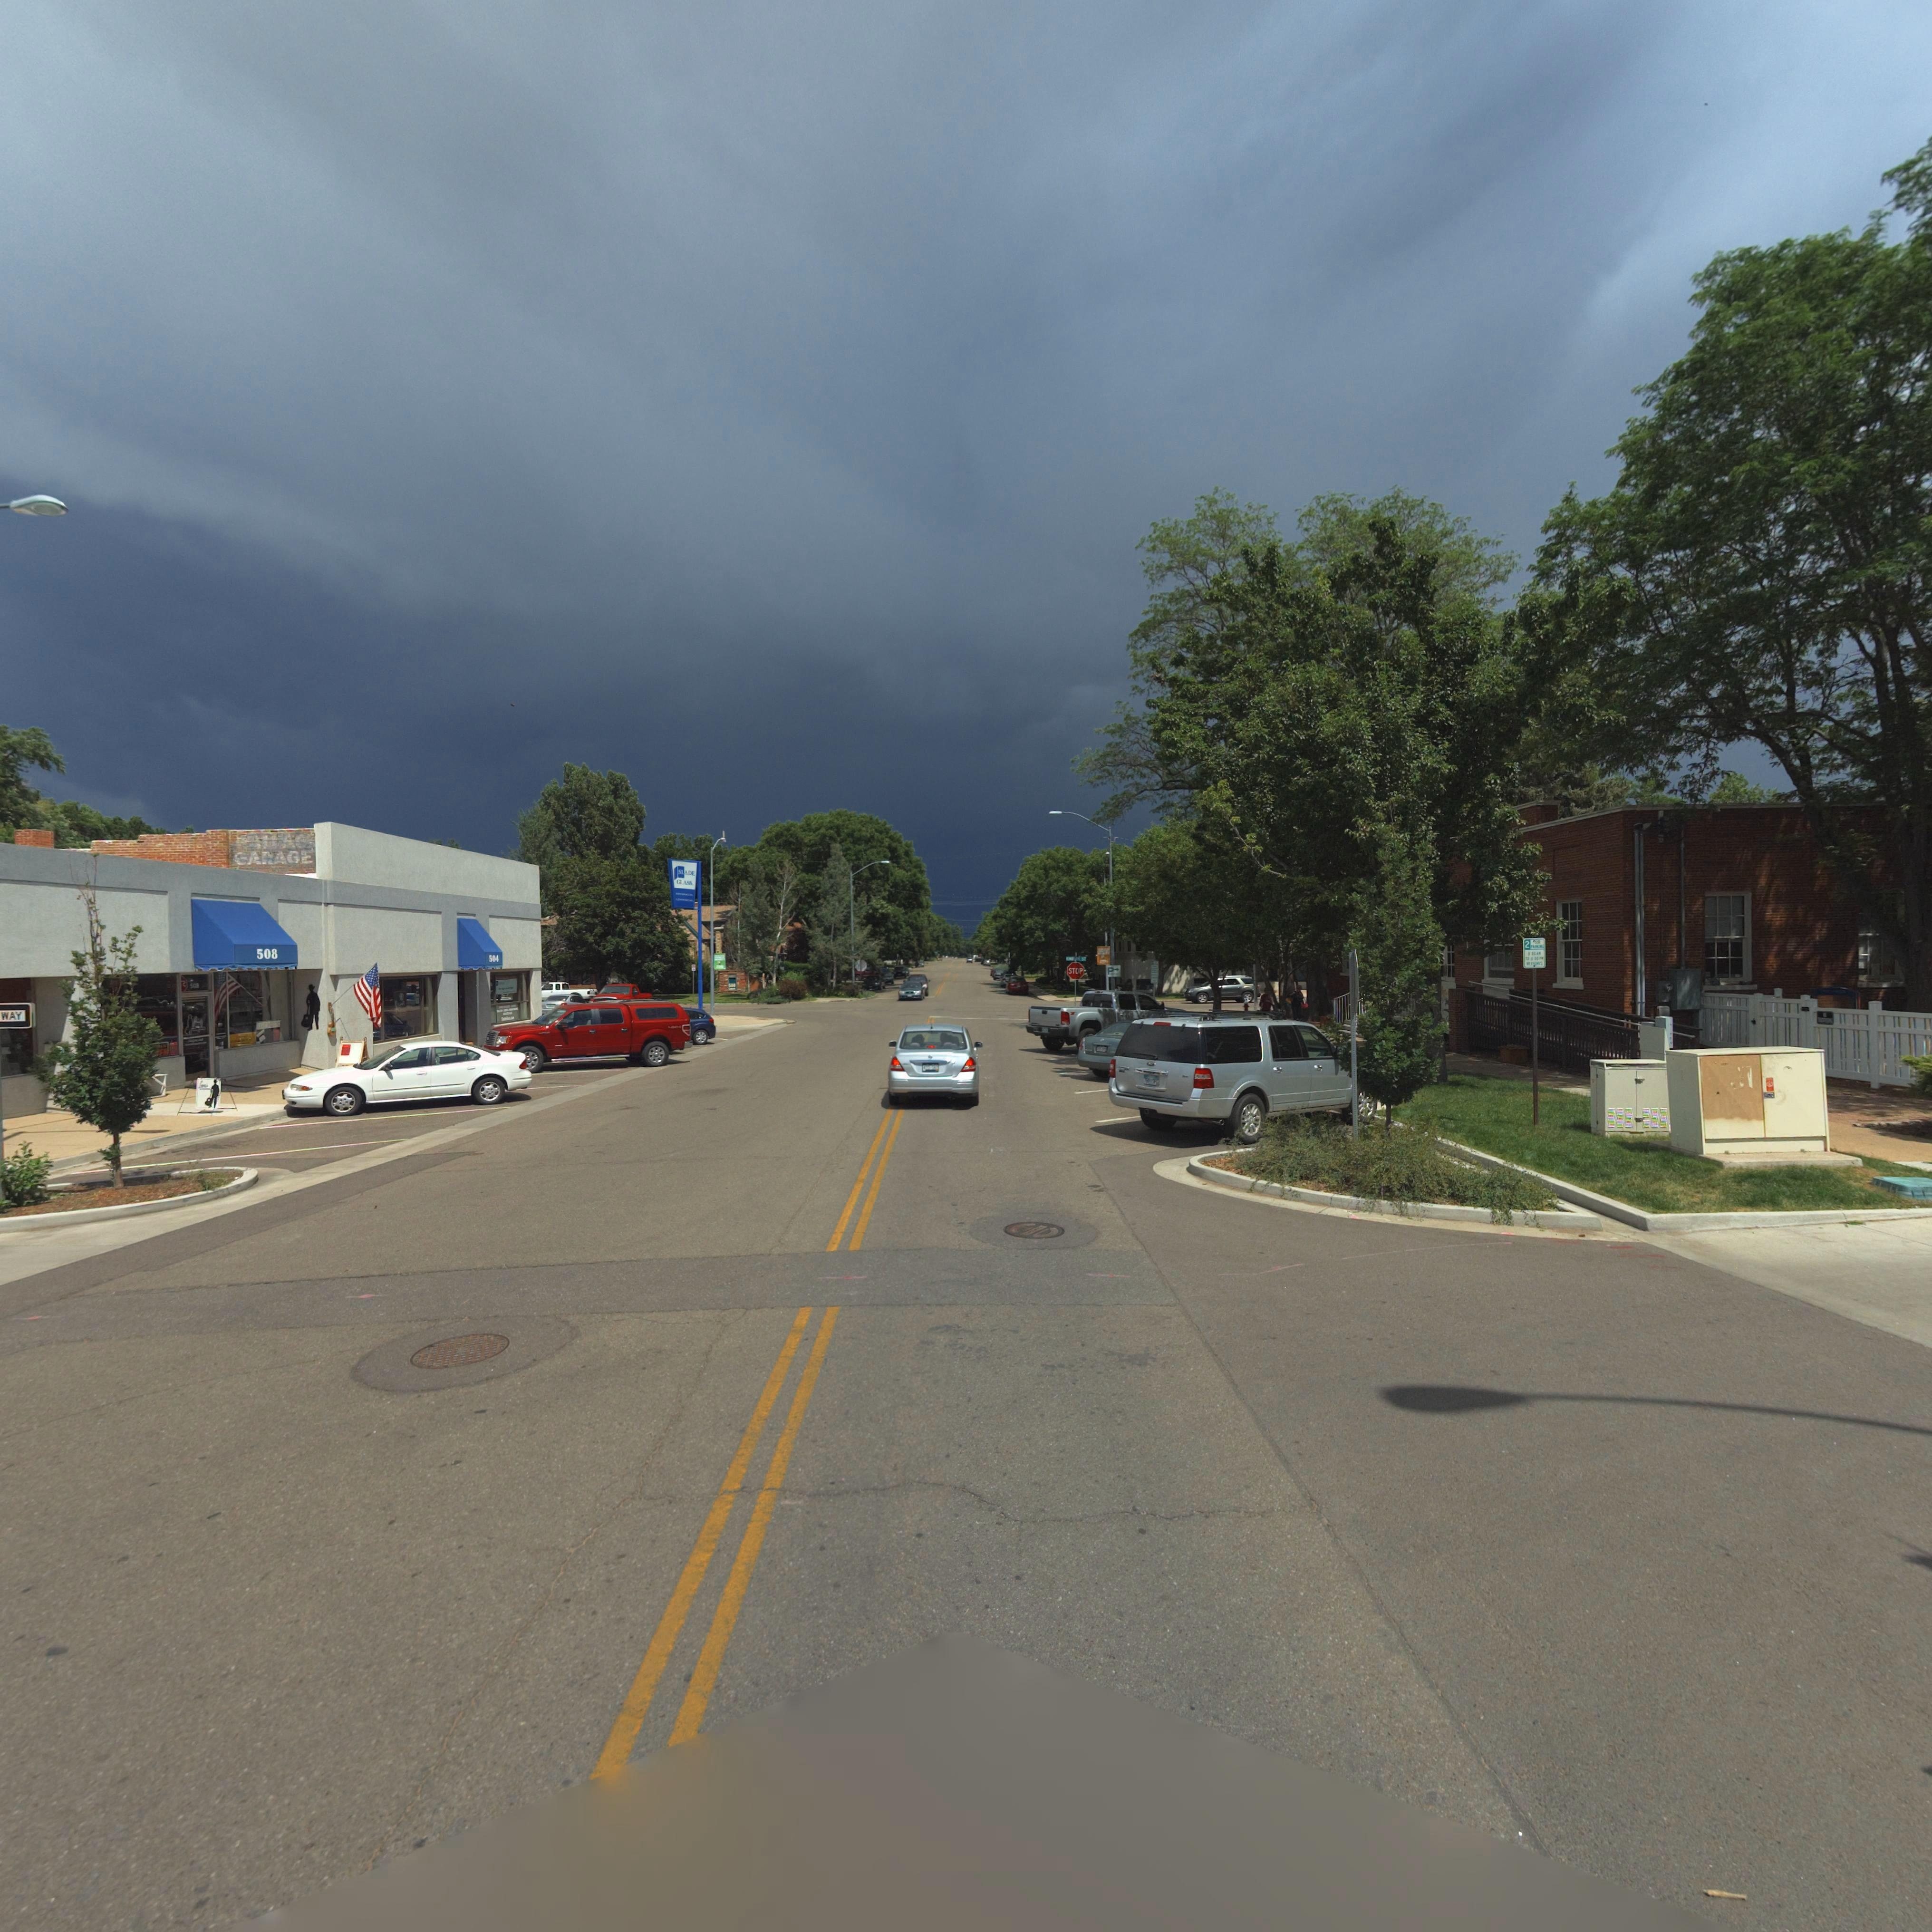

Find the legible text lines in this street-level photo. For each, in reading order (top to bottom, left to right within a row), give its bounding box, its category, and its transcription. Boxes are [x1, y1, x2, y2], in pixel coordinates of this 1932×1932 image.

[678, 869, 695, 875] BusinessName: SLADE
[676, 879, 693, 885] BusinessName: GLASS
[257, 948, 278, 959] StreetNumber: 508
[489, 955, 499, 962] StreetNumber: 504
[1082, 957, 1086, 960] StreetName: ST
[190, 983, 200, 988] StreetNumber: 508
[728, 983, 735, 987] StreetNumber: 5**